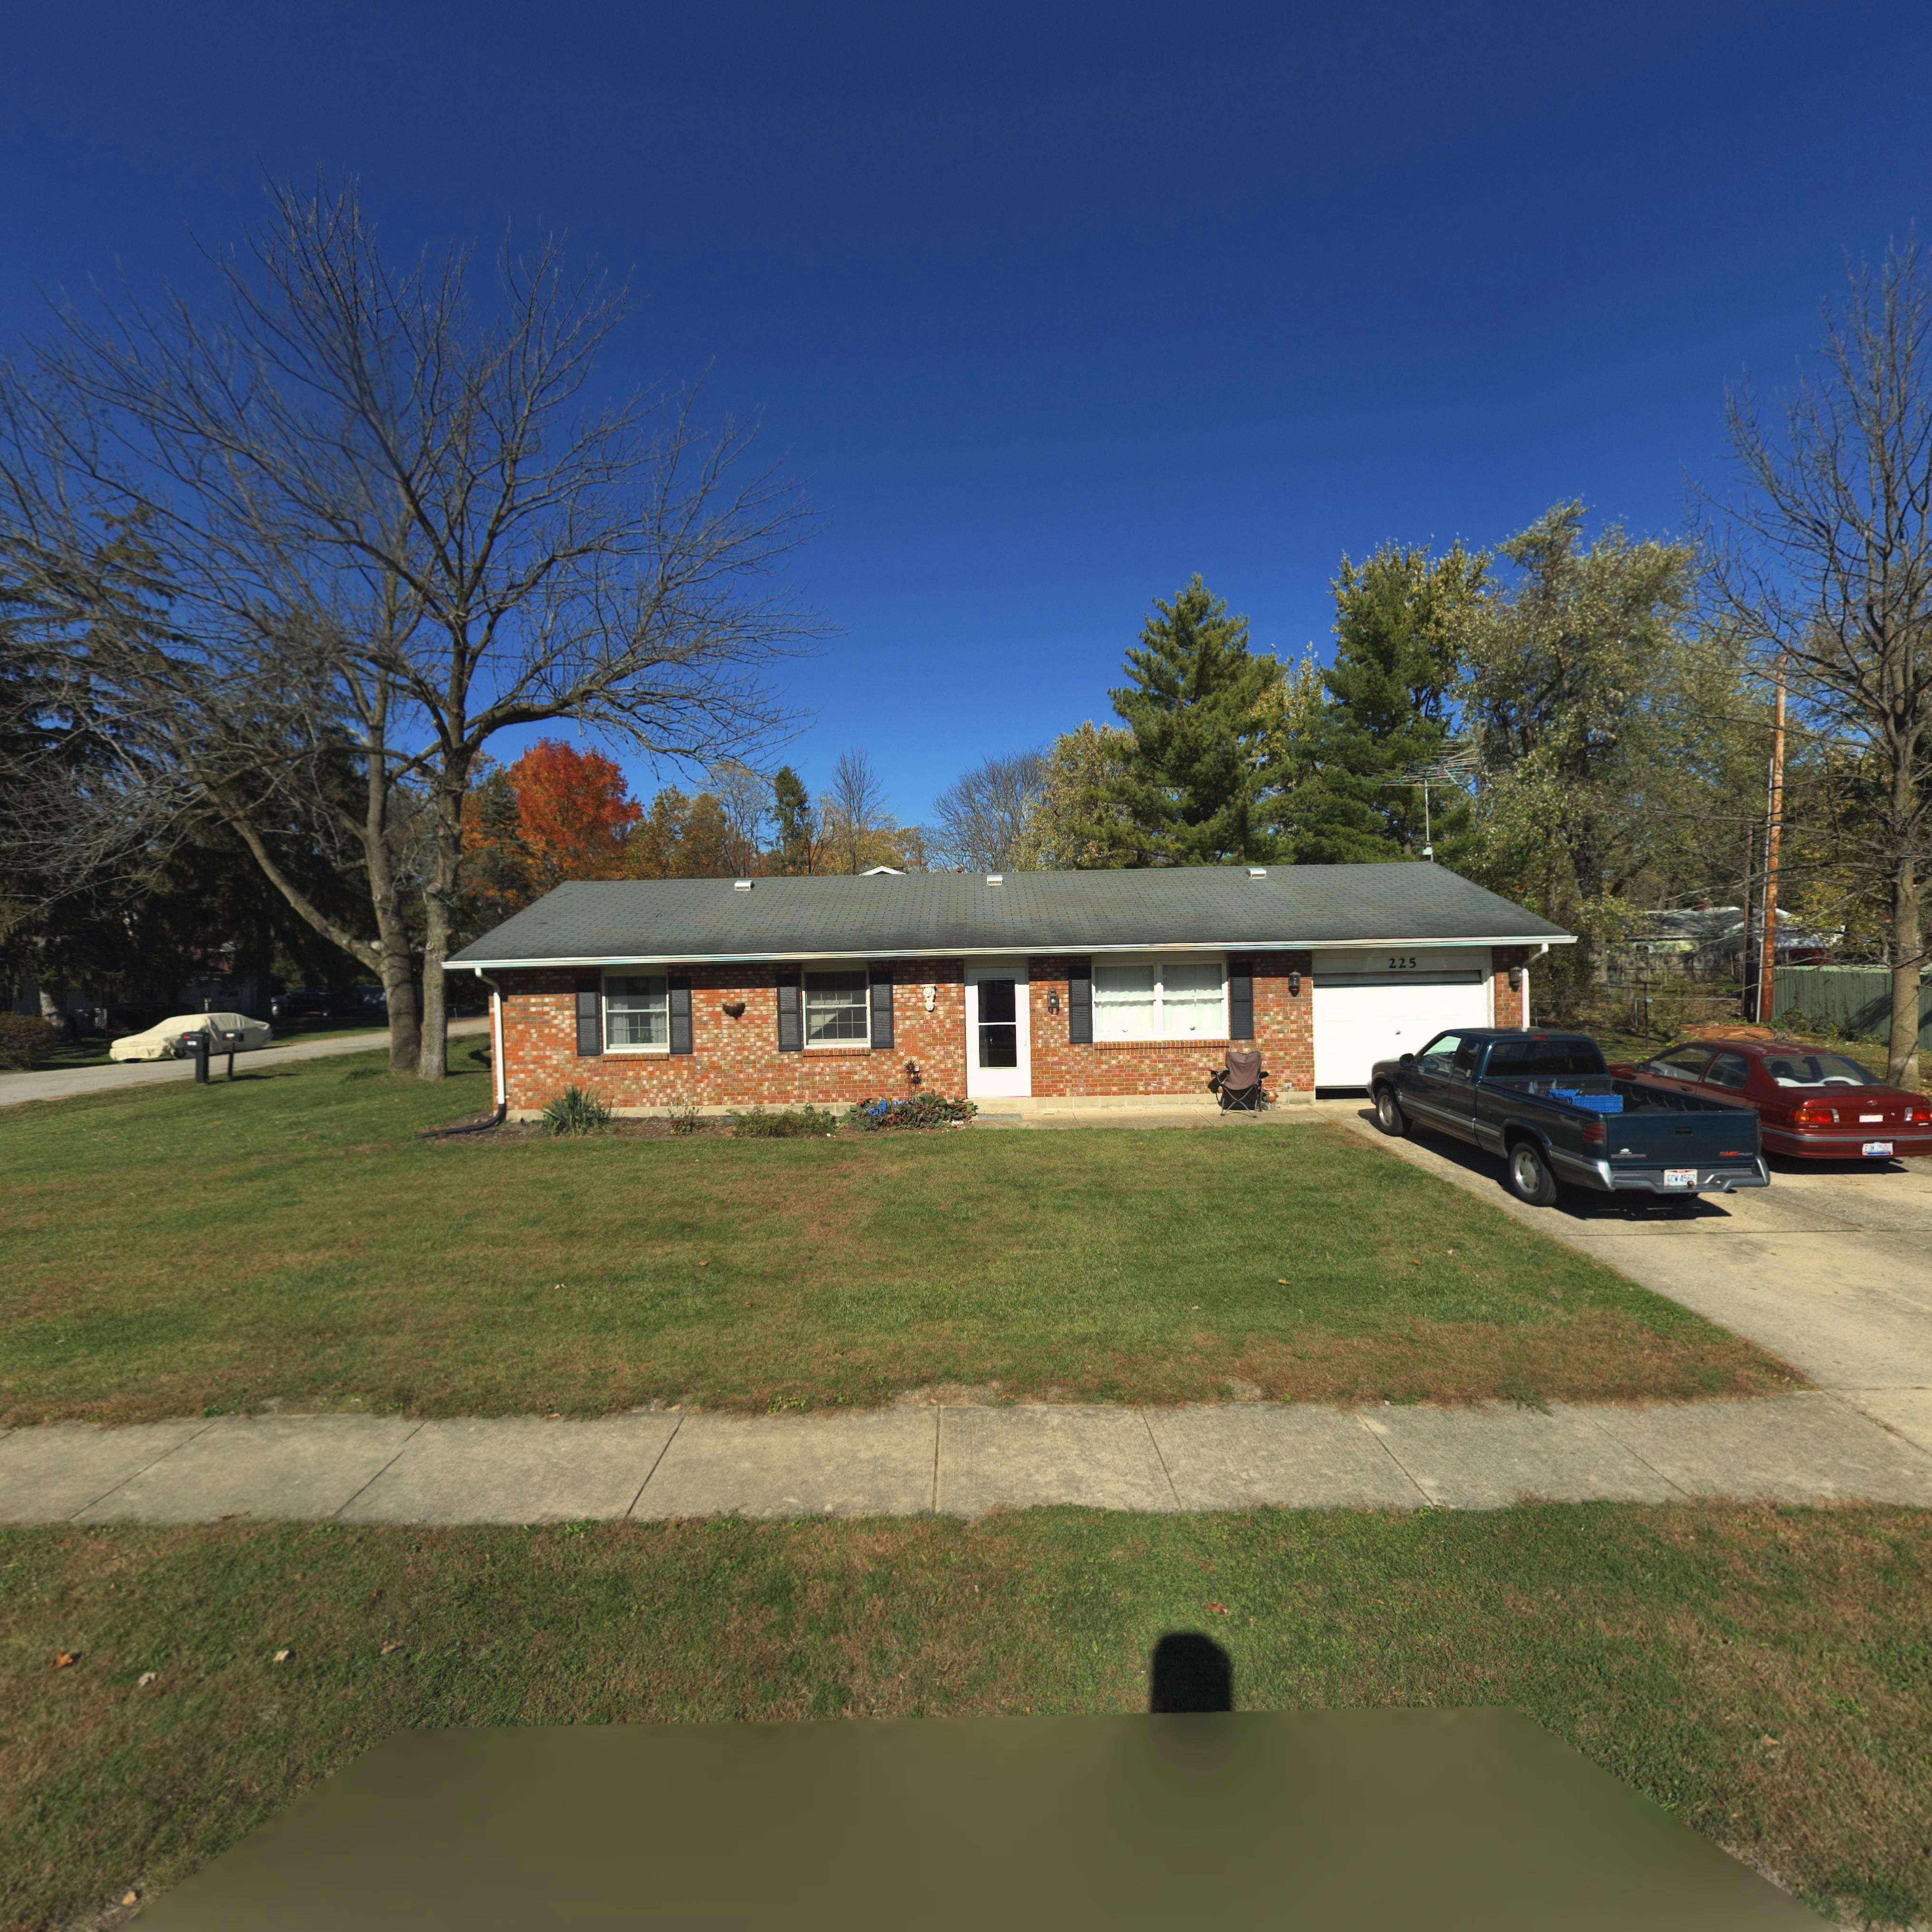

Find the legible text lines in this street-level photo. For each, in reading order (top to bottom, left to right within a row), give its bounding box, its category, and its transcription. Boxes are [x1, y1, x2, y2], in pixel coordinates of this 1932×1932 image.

[1388, 957, 1416, 969] StreetNumber: 225